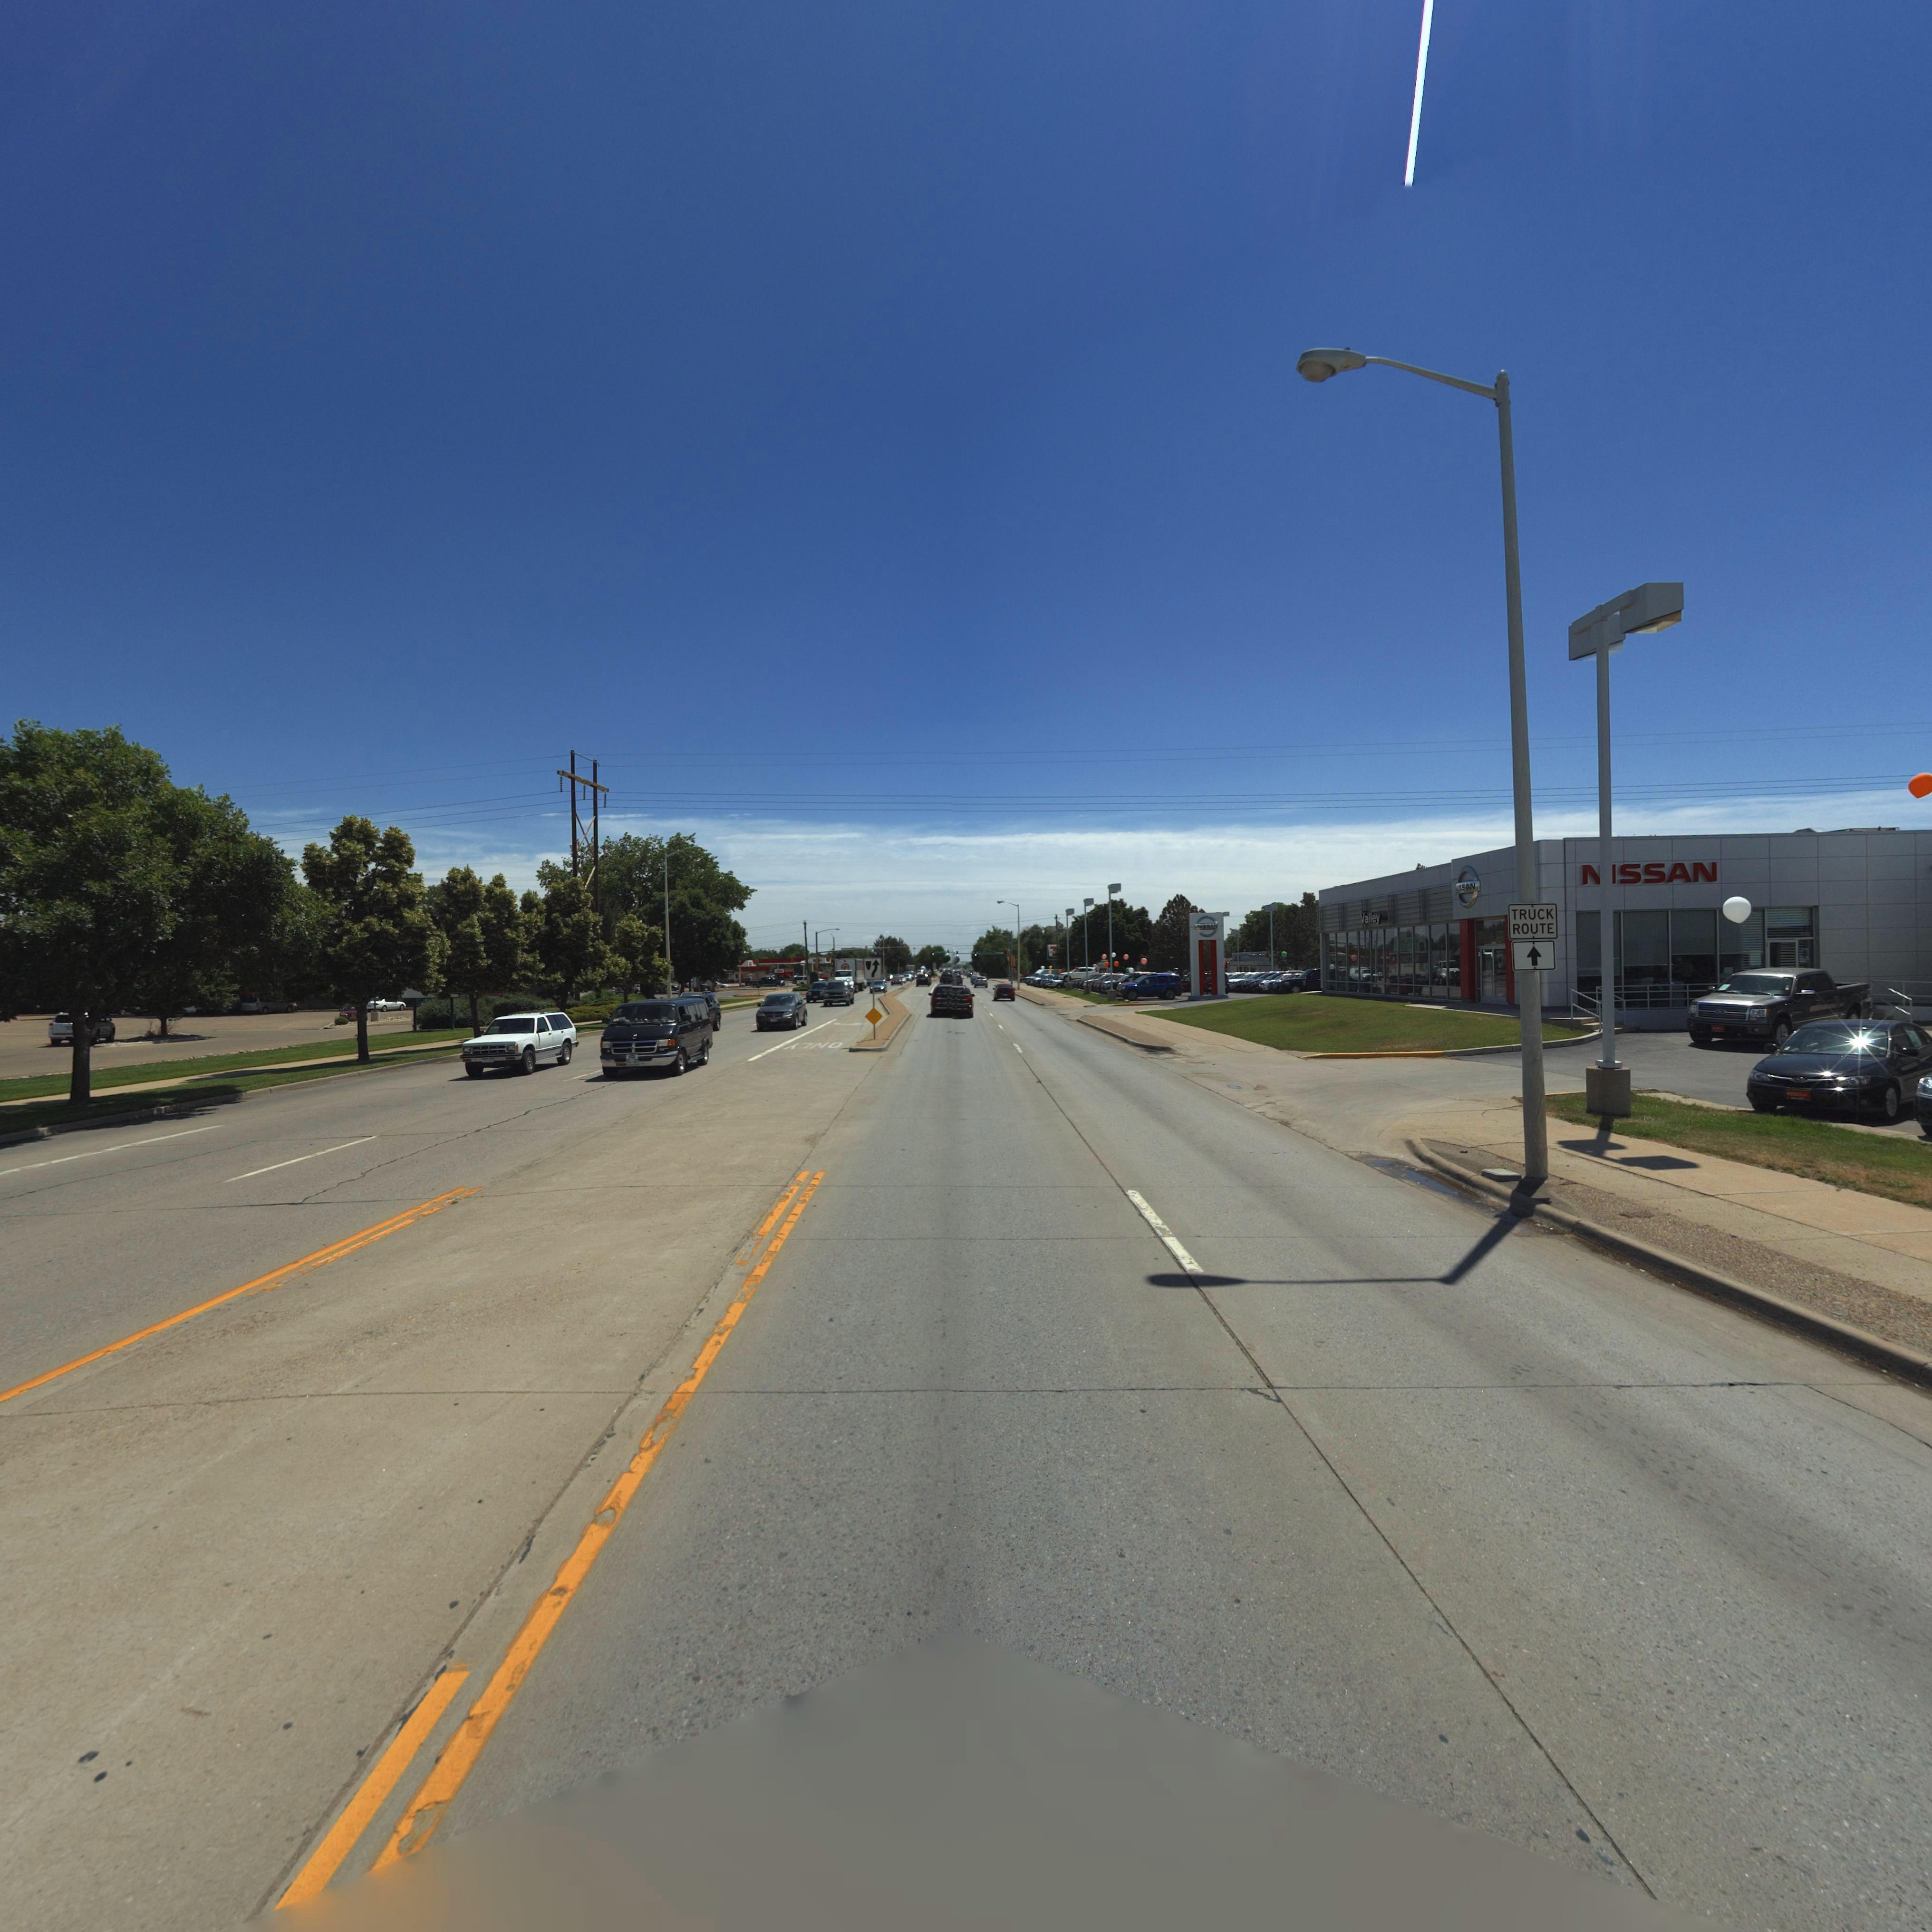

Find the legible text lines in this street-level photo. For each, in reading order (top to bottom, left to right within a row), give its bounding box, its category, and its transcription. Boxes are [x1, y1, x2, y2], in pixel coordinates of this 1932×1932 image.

[1581, 861, 1718, 885] BusinessName: **SSAN
[1457, 882, 1476, 891] BusinessName: ISSAN
[1359, 912, 1380, 925] BusinessName: Valley
[1197, 924, 1217, 928] BusinessName: NISSAN
[1050, 946, 1057, 956] BusinessName: 7